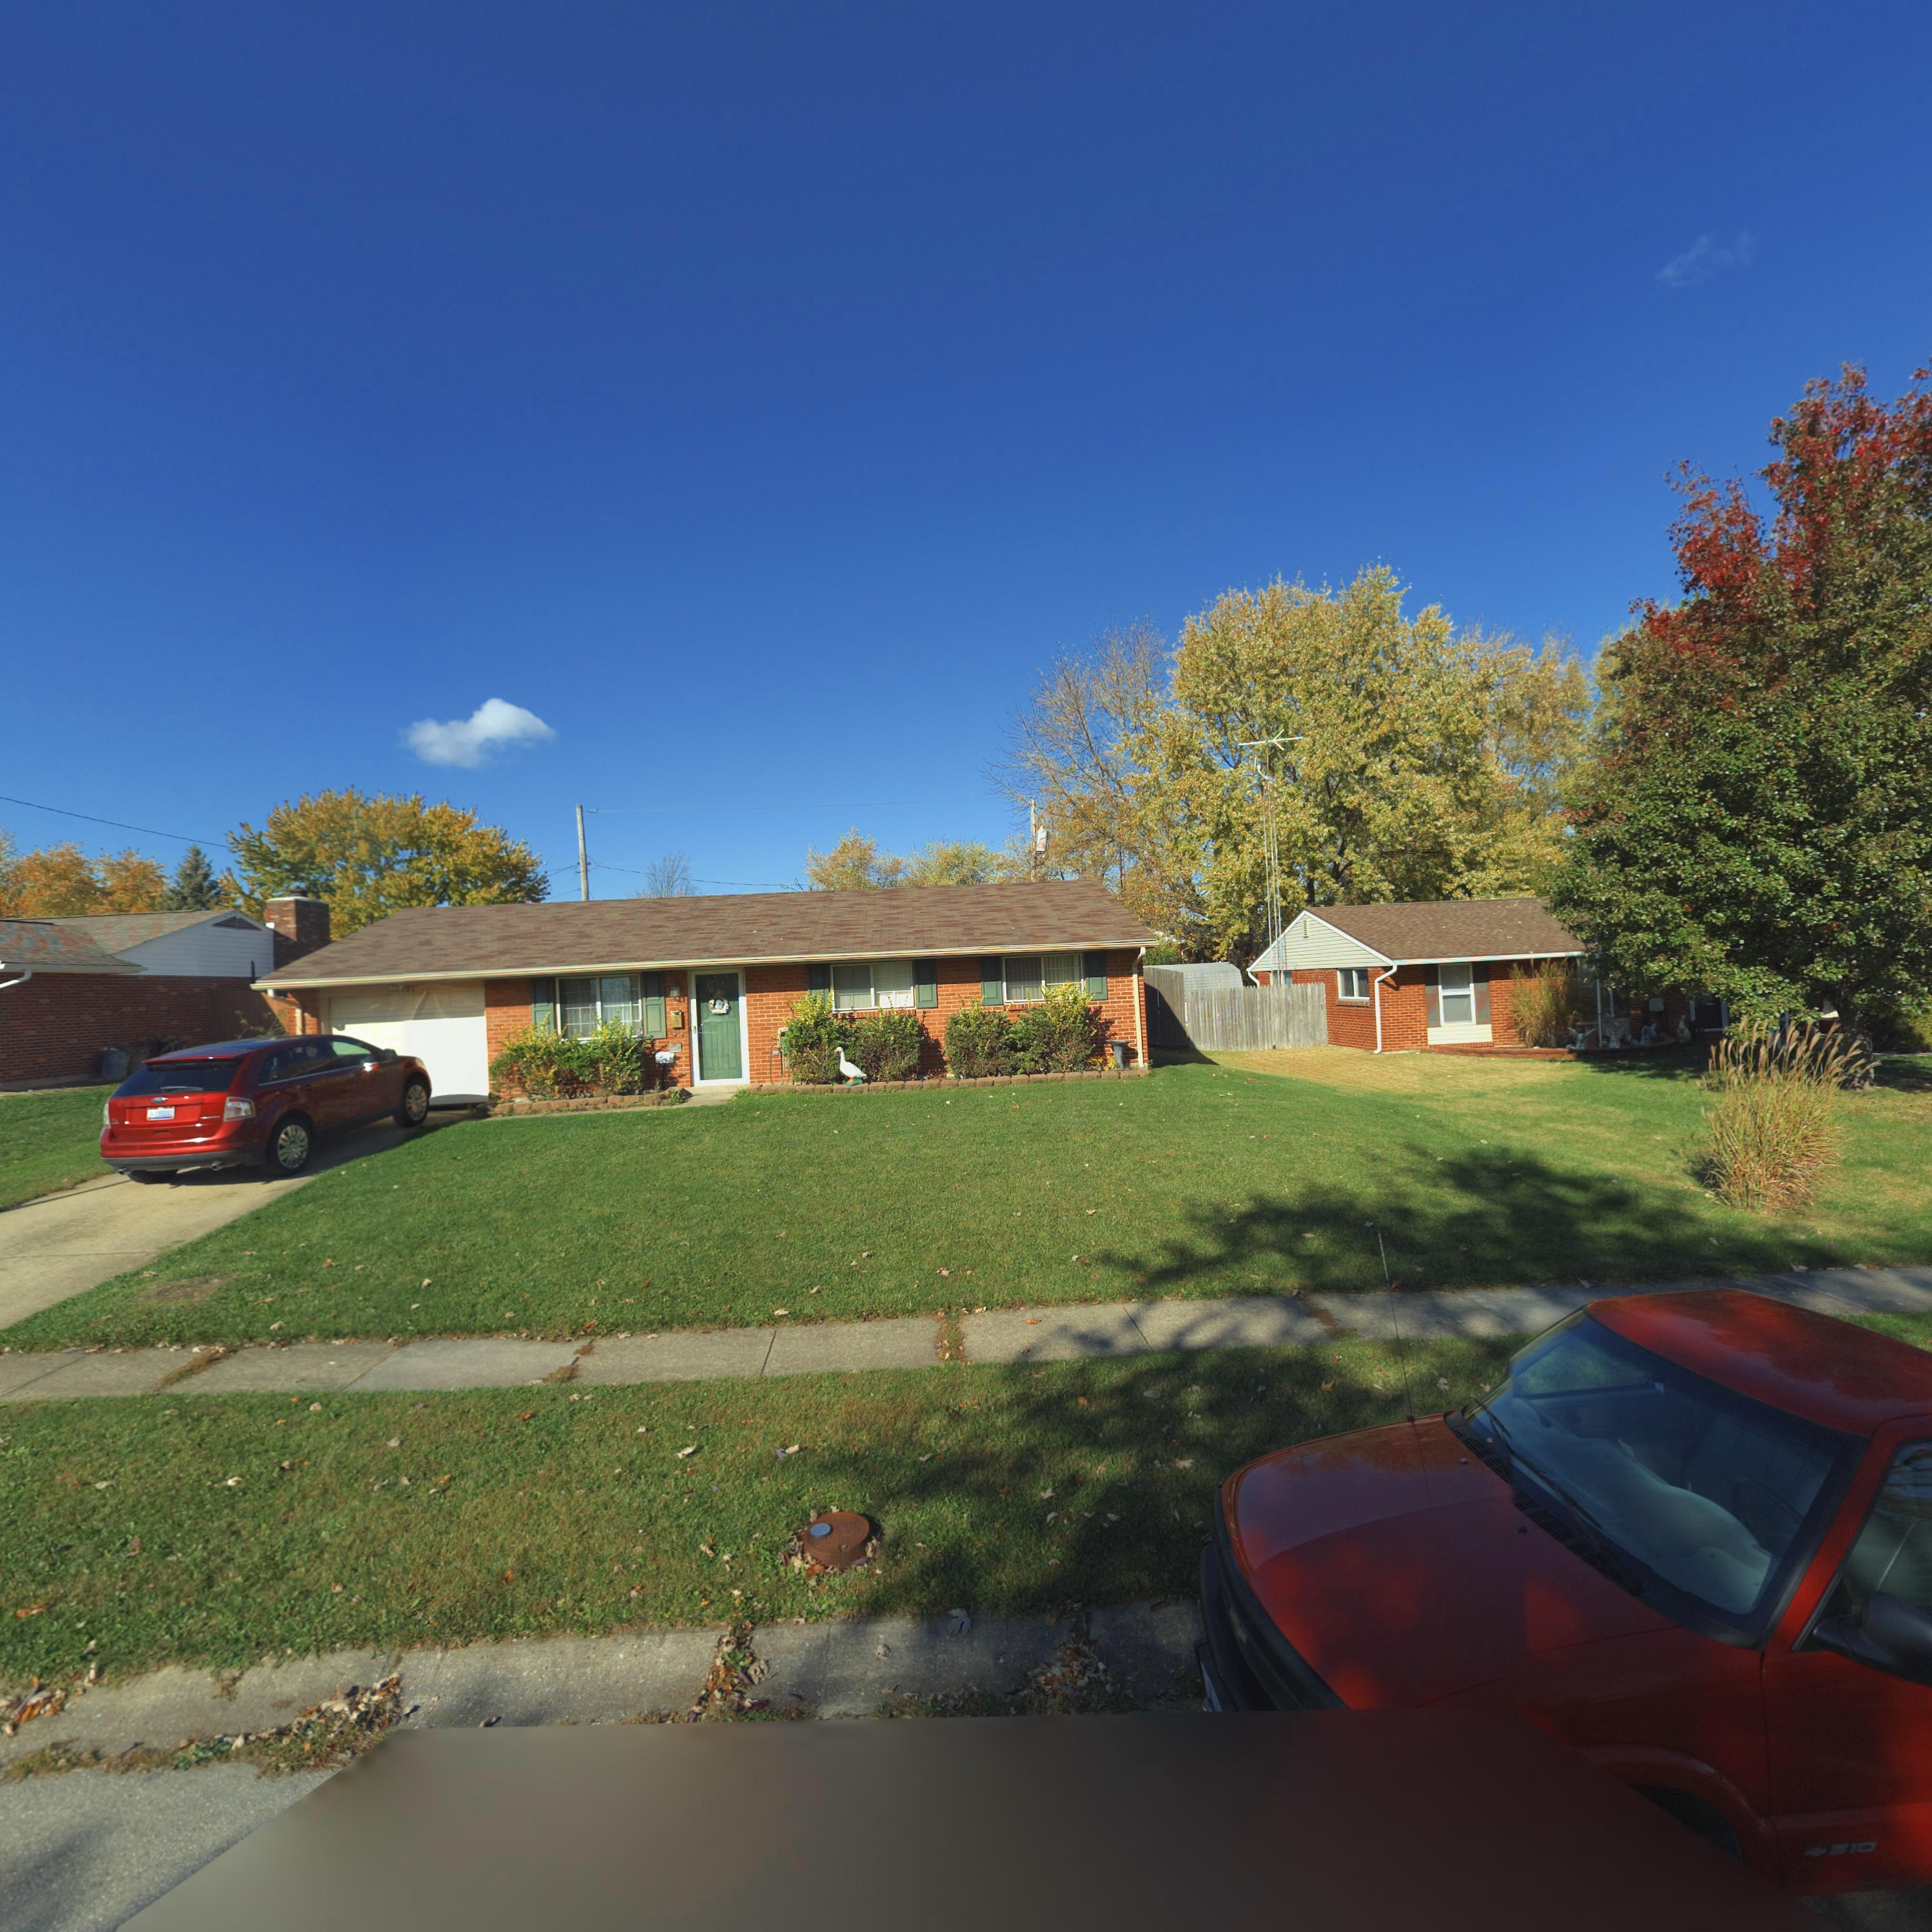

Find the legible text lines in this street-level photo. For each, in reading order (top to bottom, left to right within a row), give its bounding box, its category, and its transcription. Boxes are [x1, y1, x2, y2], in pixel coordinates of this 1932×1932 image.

[405, 984, 416, 994] StreetNumber: 21